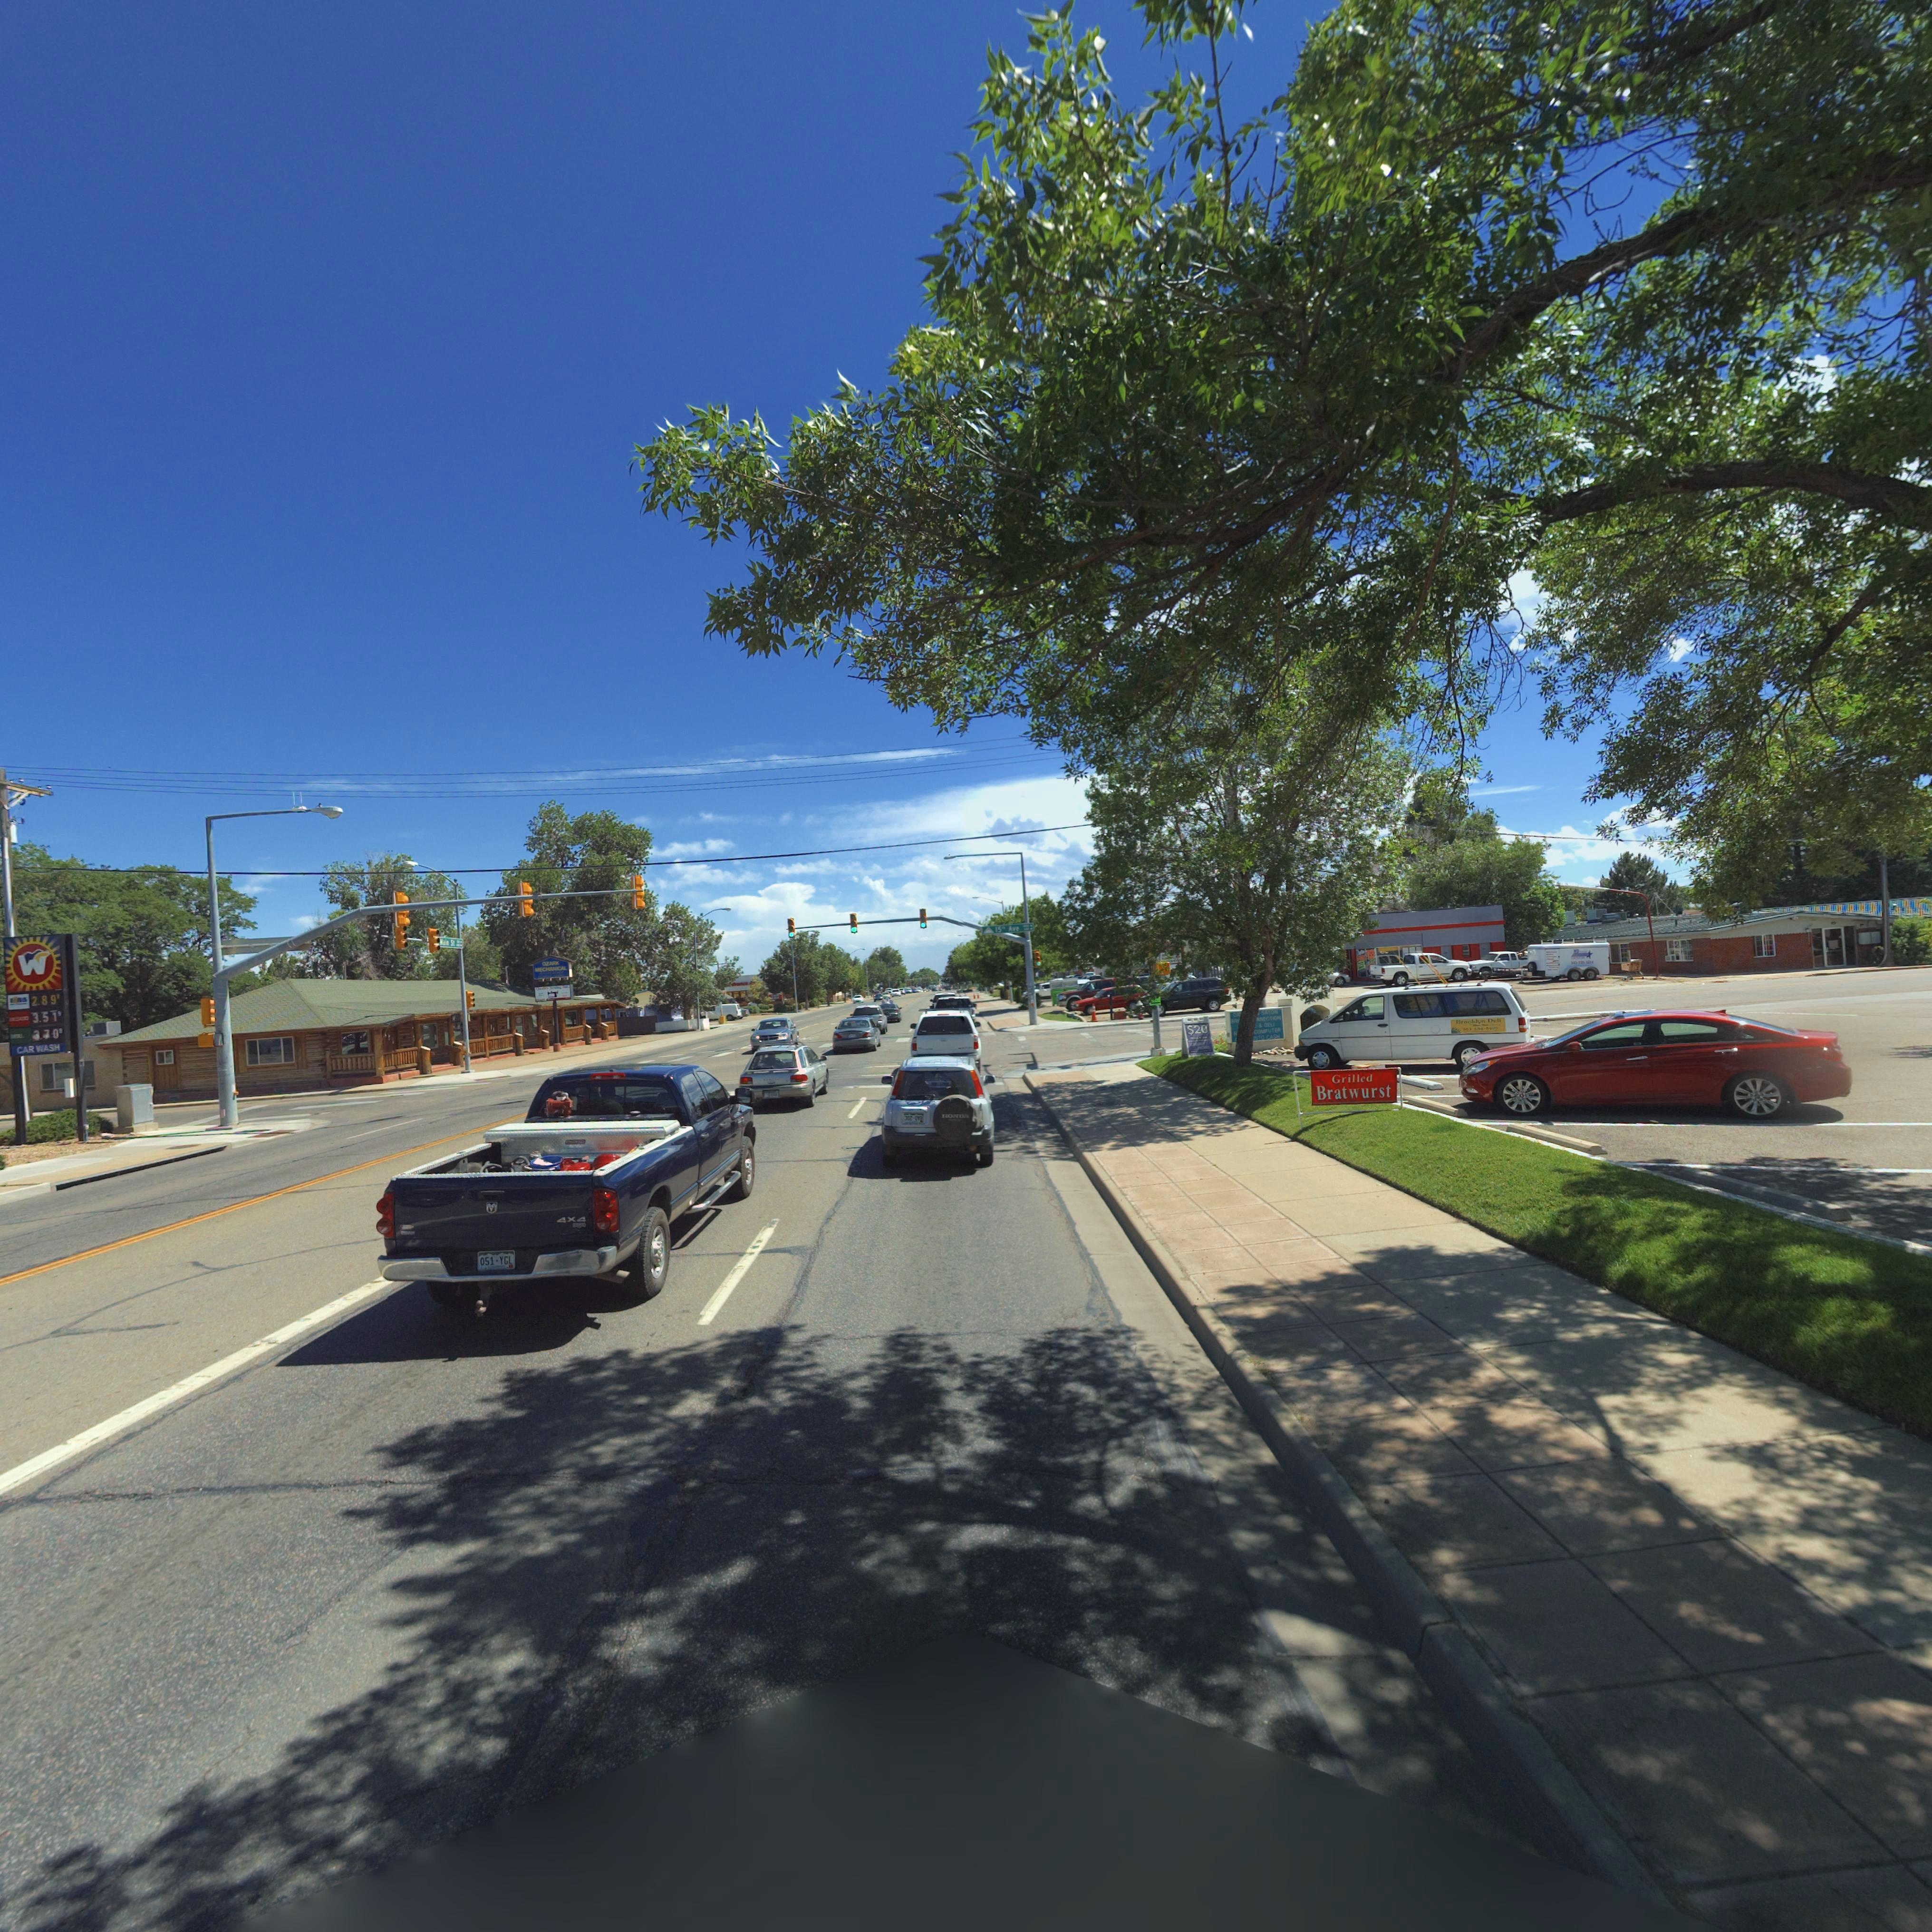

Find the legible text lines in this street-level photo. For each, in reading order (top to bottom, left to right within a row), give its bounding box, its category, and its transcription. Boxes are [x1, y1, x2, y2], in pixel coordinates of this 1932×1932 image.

[995, 926, 1019, 932] StreetName: 15th Ave
[440, 939, 454, 946] StreetName: Main St
[17, 955, 46, 976] BusinessName: W
[542, 961, 560, 966] BusinessName: OZARK
[534, 966, 567, 972] BusinessName: **C****CA*